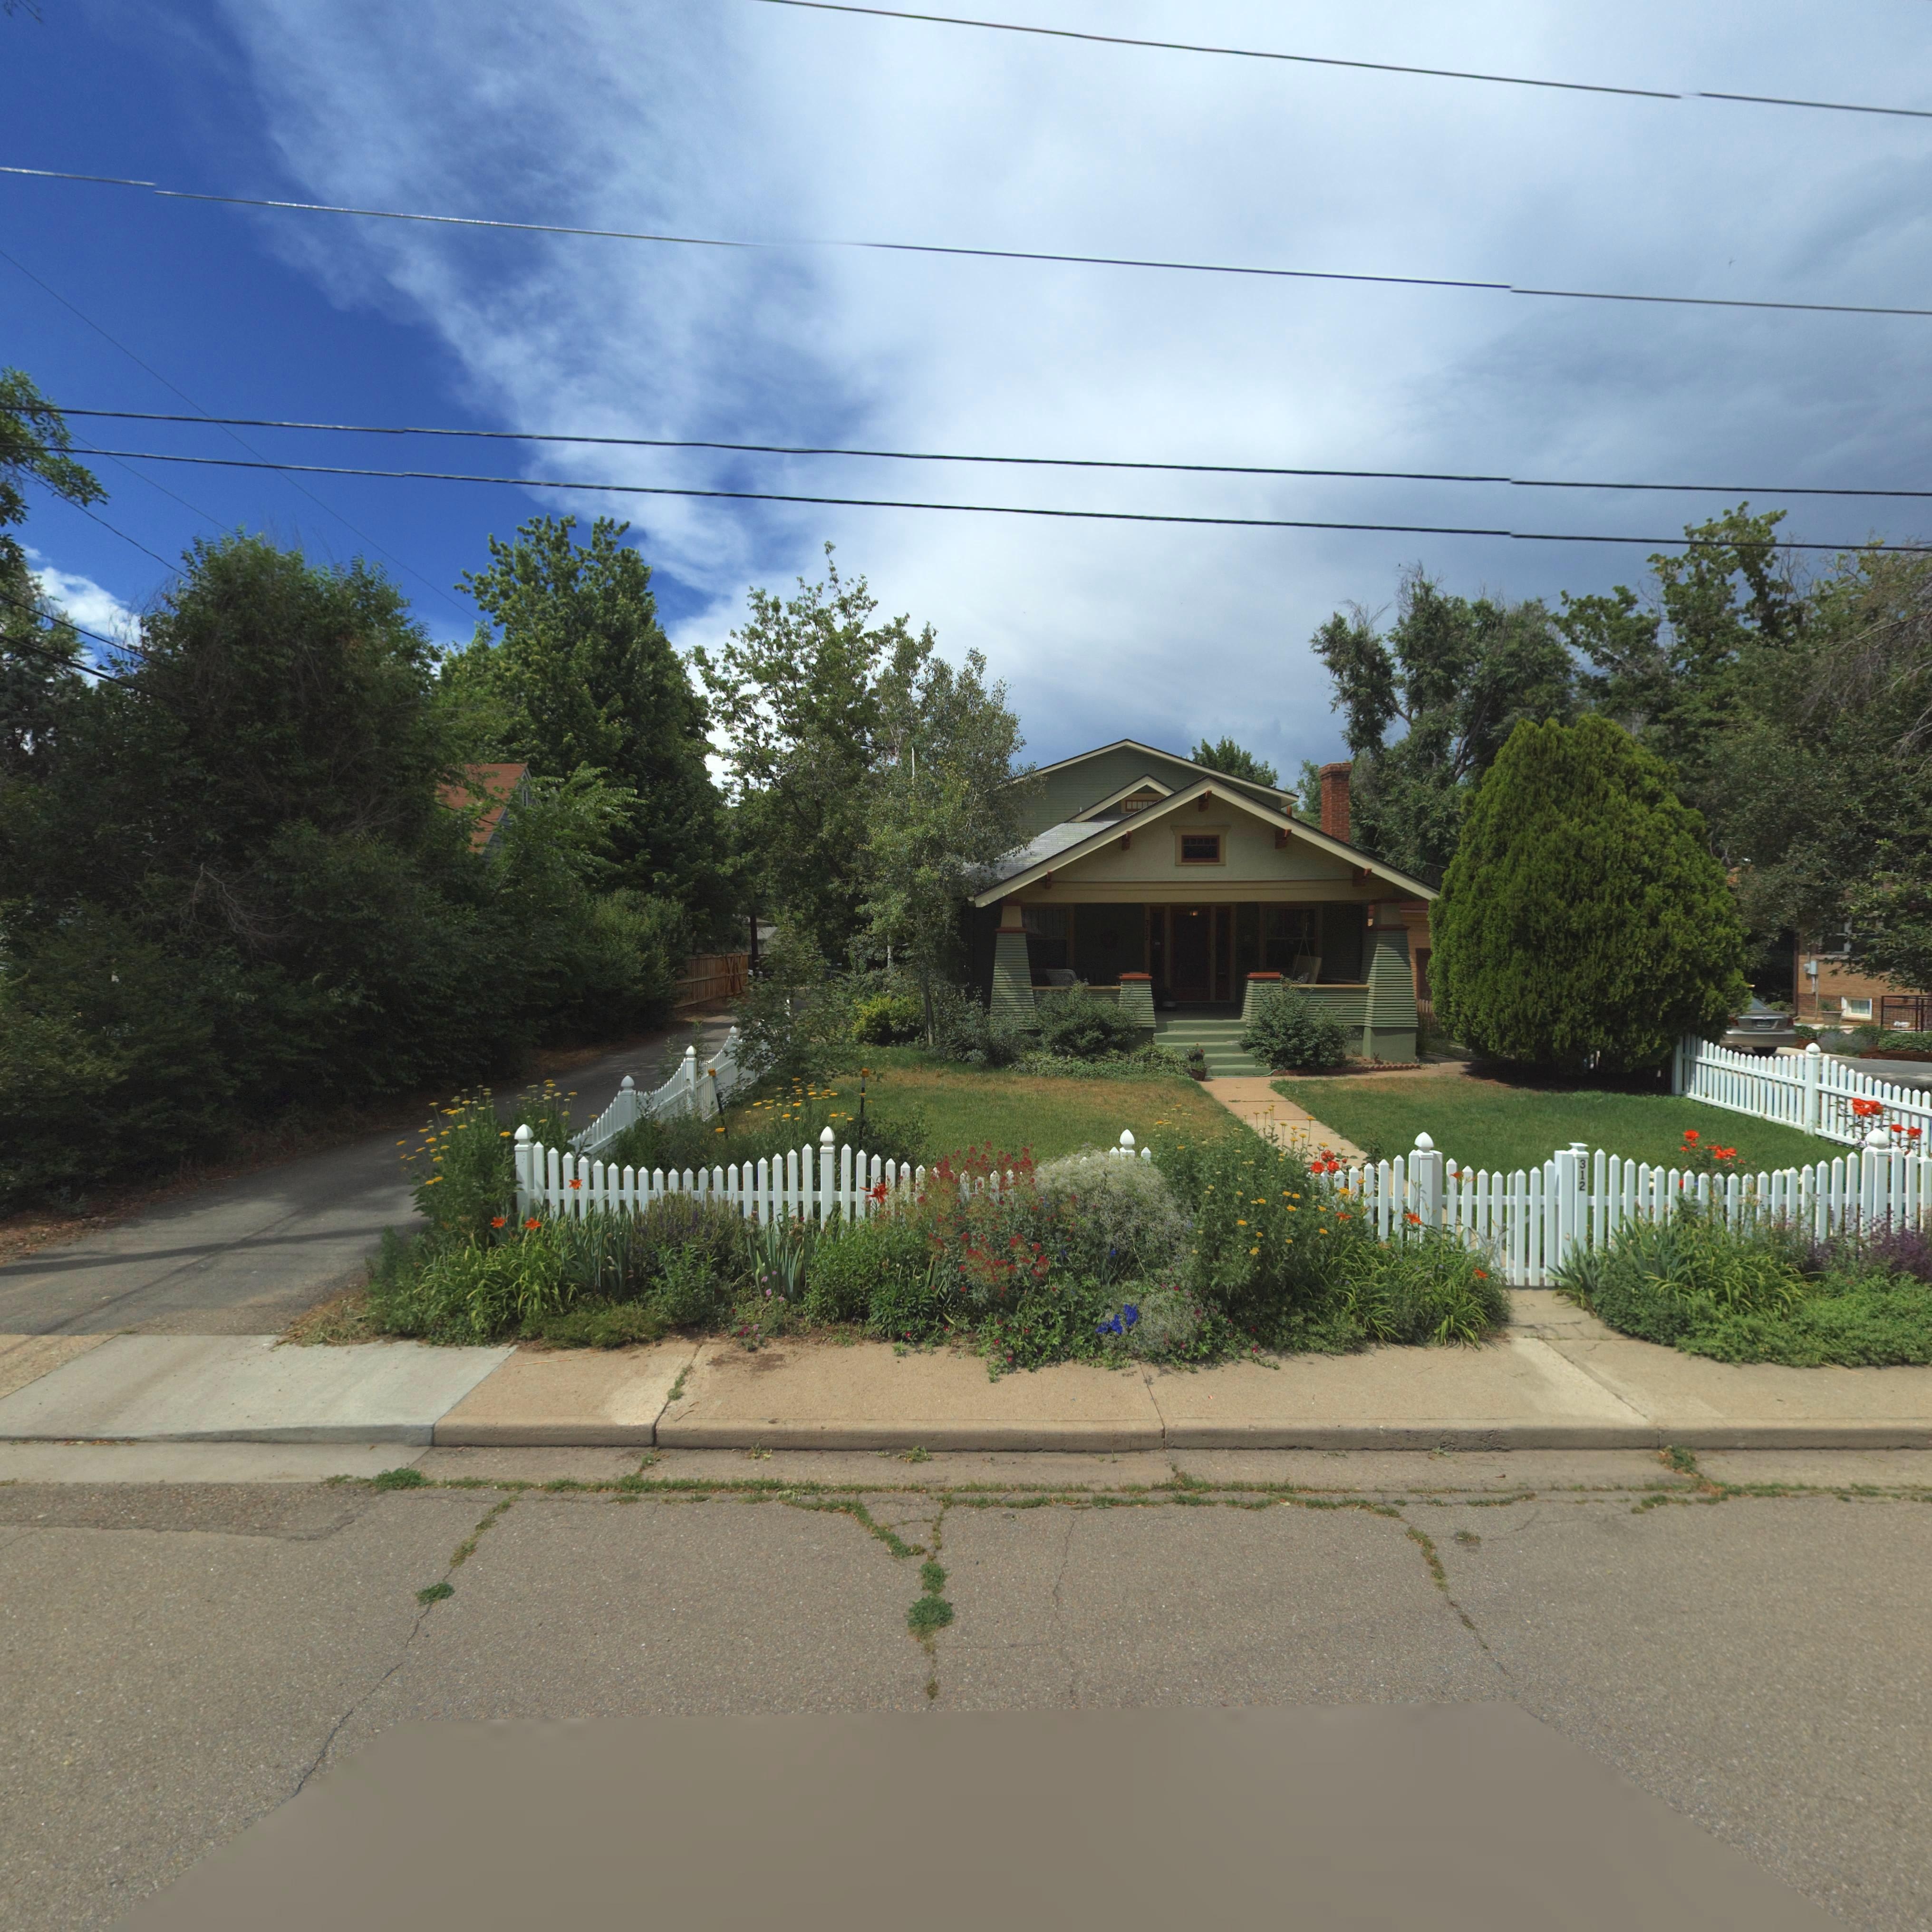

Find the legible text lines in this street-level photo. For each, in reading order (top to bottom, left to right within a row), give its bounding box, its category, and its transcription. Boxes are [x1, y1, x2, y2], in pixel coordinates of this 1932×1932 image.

[1144, 919, 1149, 941] StreetNumber: 312
[1579, 1158, 1586, 1191] StreetNumber: 312